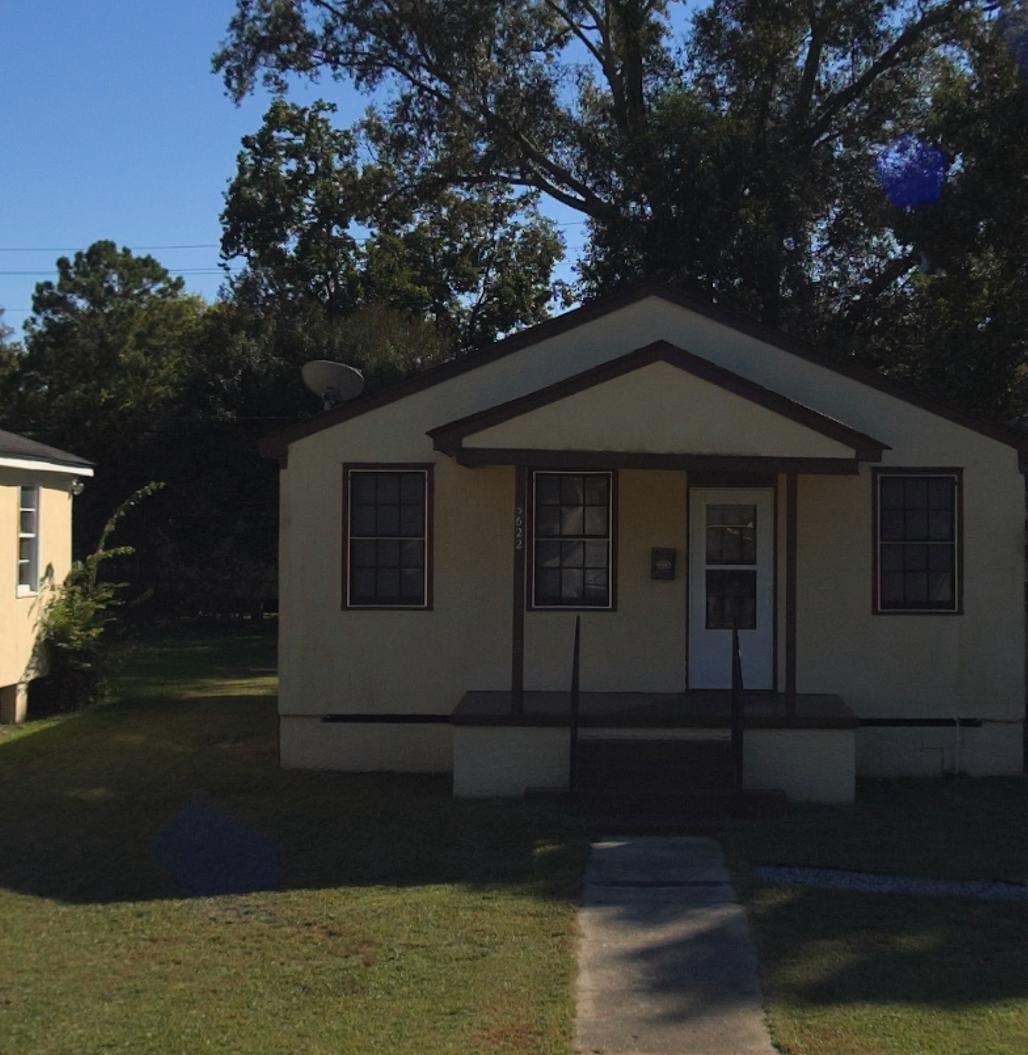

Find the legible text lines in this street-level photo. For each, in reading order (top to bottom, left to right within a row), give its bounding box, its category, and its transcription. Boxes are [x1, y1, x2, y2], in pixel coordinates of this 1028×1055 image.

[514, 500, 525, 555] StreetNumber: 3622